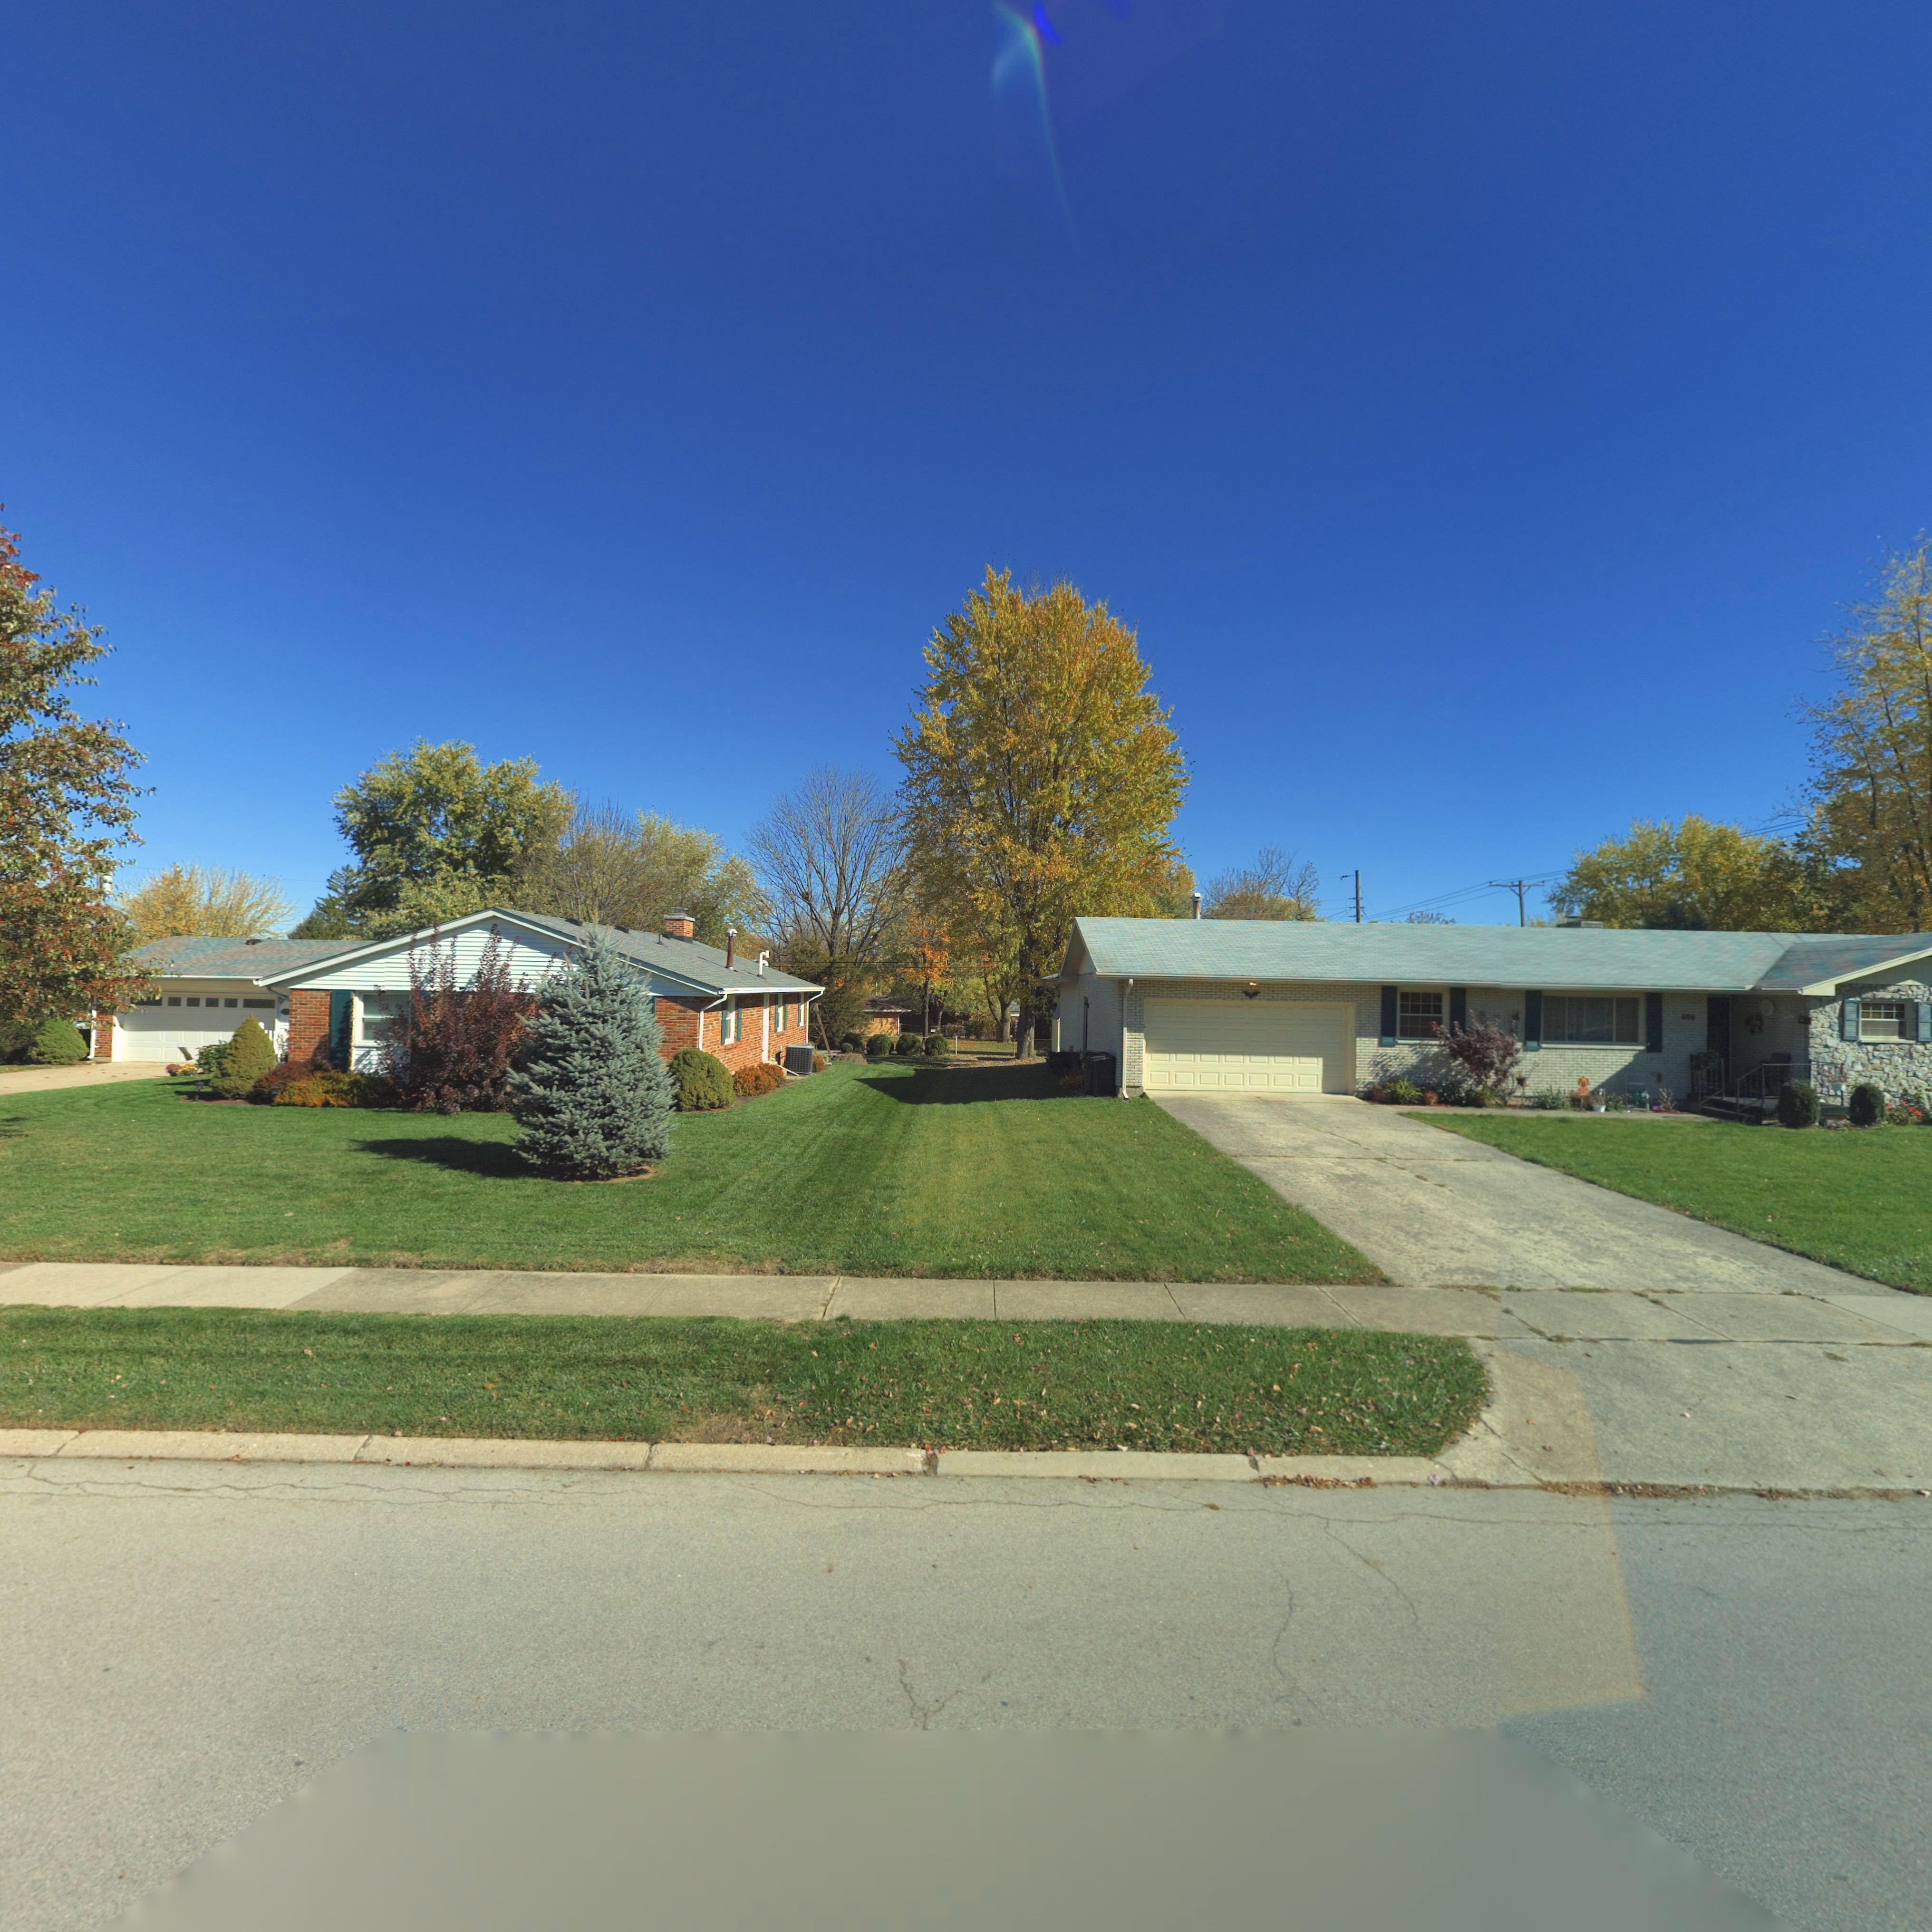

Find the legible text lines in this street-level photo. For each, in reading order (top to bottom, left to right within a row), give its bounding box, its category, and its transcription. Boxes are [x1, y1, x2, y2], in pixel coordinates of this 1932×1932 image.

[1681, 1014, 1695, 1021] StreetNumber: 606